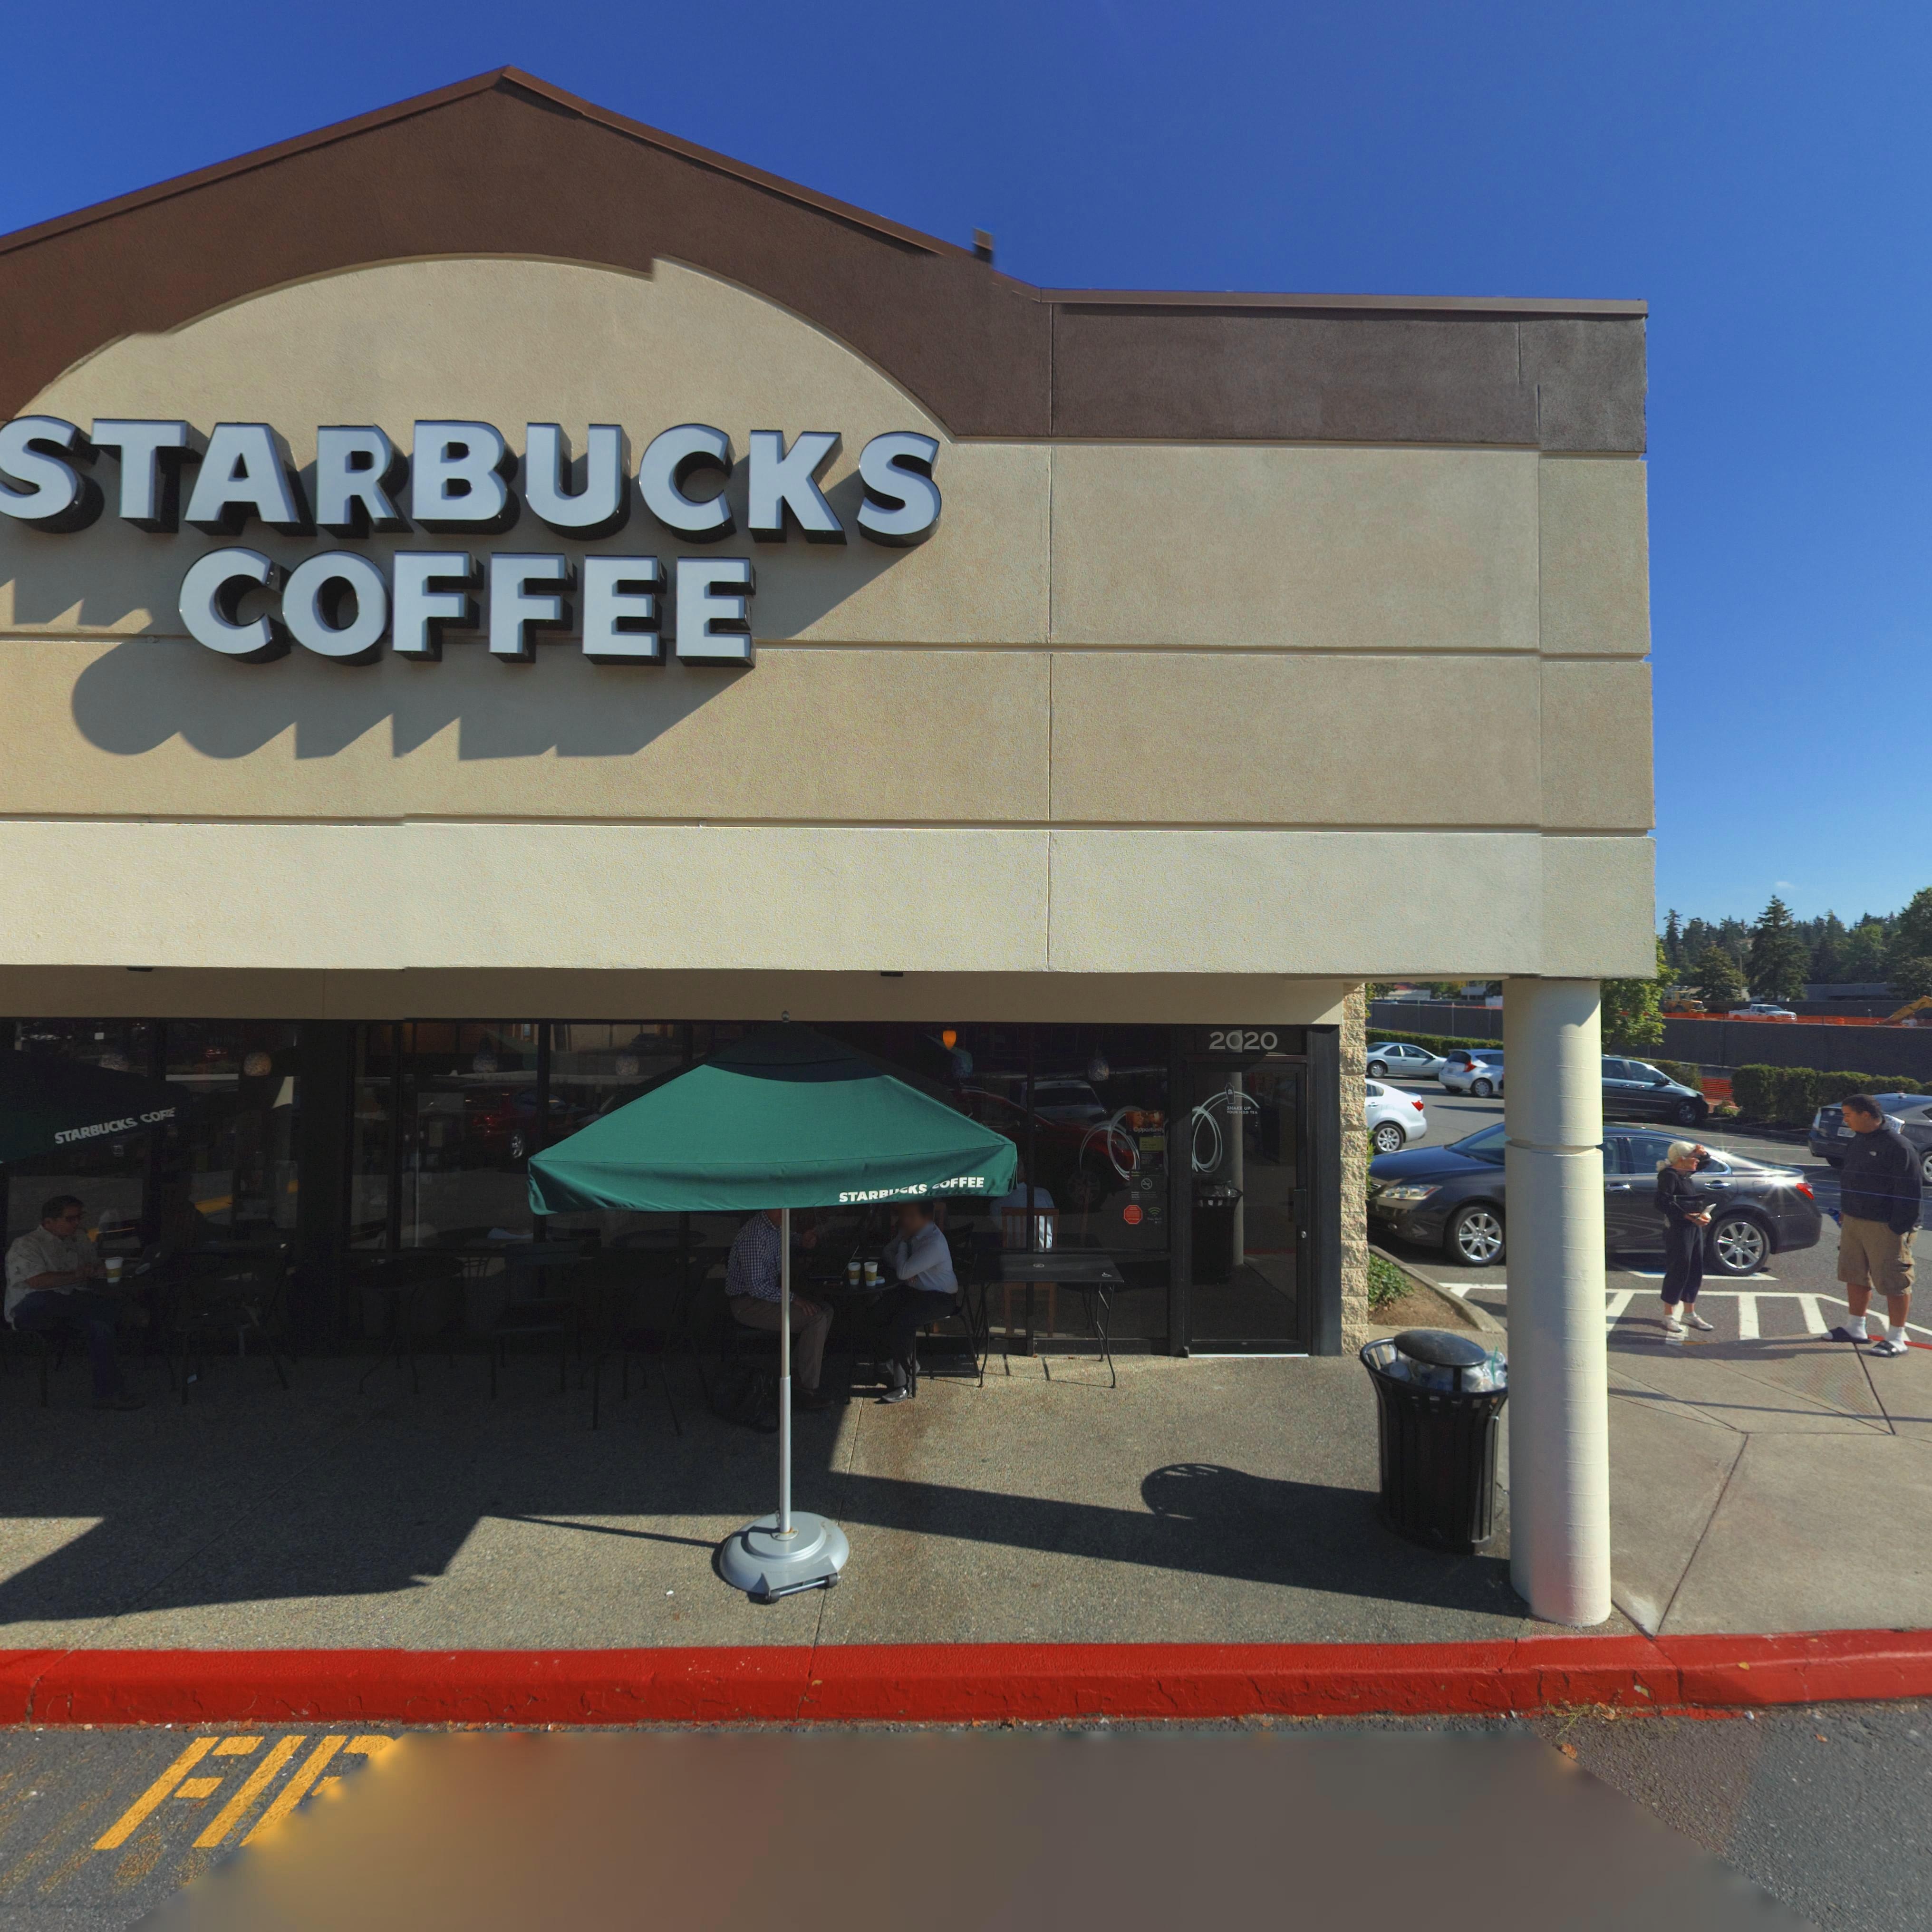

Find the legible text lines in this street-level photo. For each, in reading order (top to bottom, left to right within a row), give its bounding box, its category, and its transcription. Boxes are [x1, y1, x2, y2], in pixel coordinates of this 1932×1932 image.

[0, 416, 935, 534] BusinessName: STARBUCKS
[174, 546, 760, 664] BusinessName: COFFEE
[1208, 1031, 1278, 1051] StreetNumber: 2020
[138, 1108, 166, 1126] BusinessName: CO
[50, 1114, 139, 1146] BusinessName: STARBUCKS
[942, 1176, 985, 1189] BusinessName: OFFEE
[839, 1186, 889, 1202] BusinessName: STARB